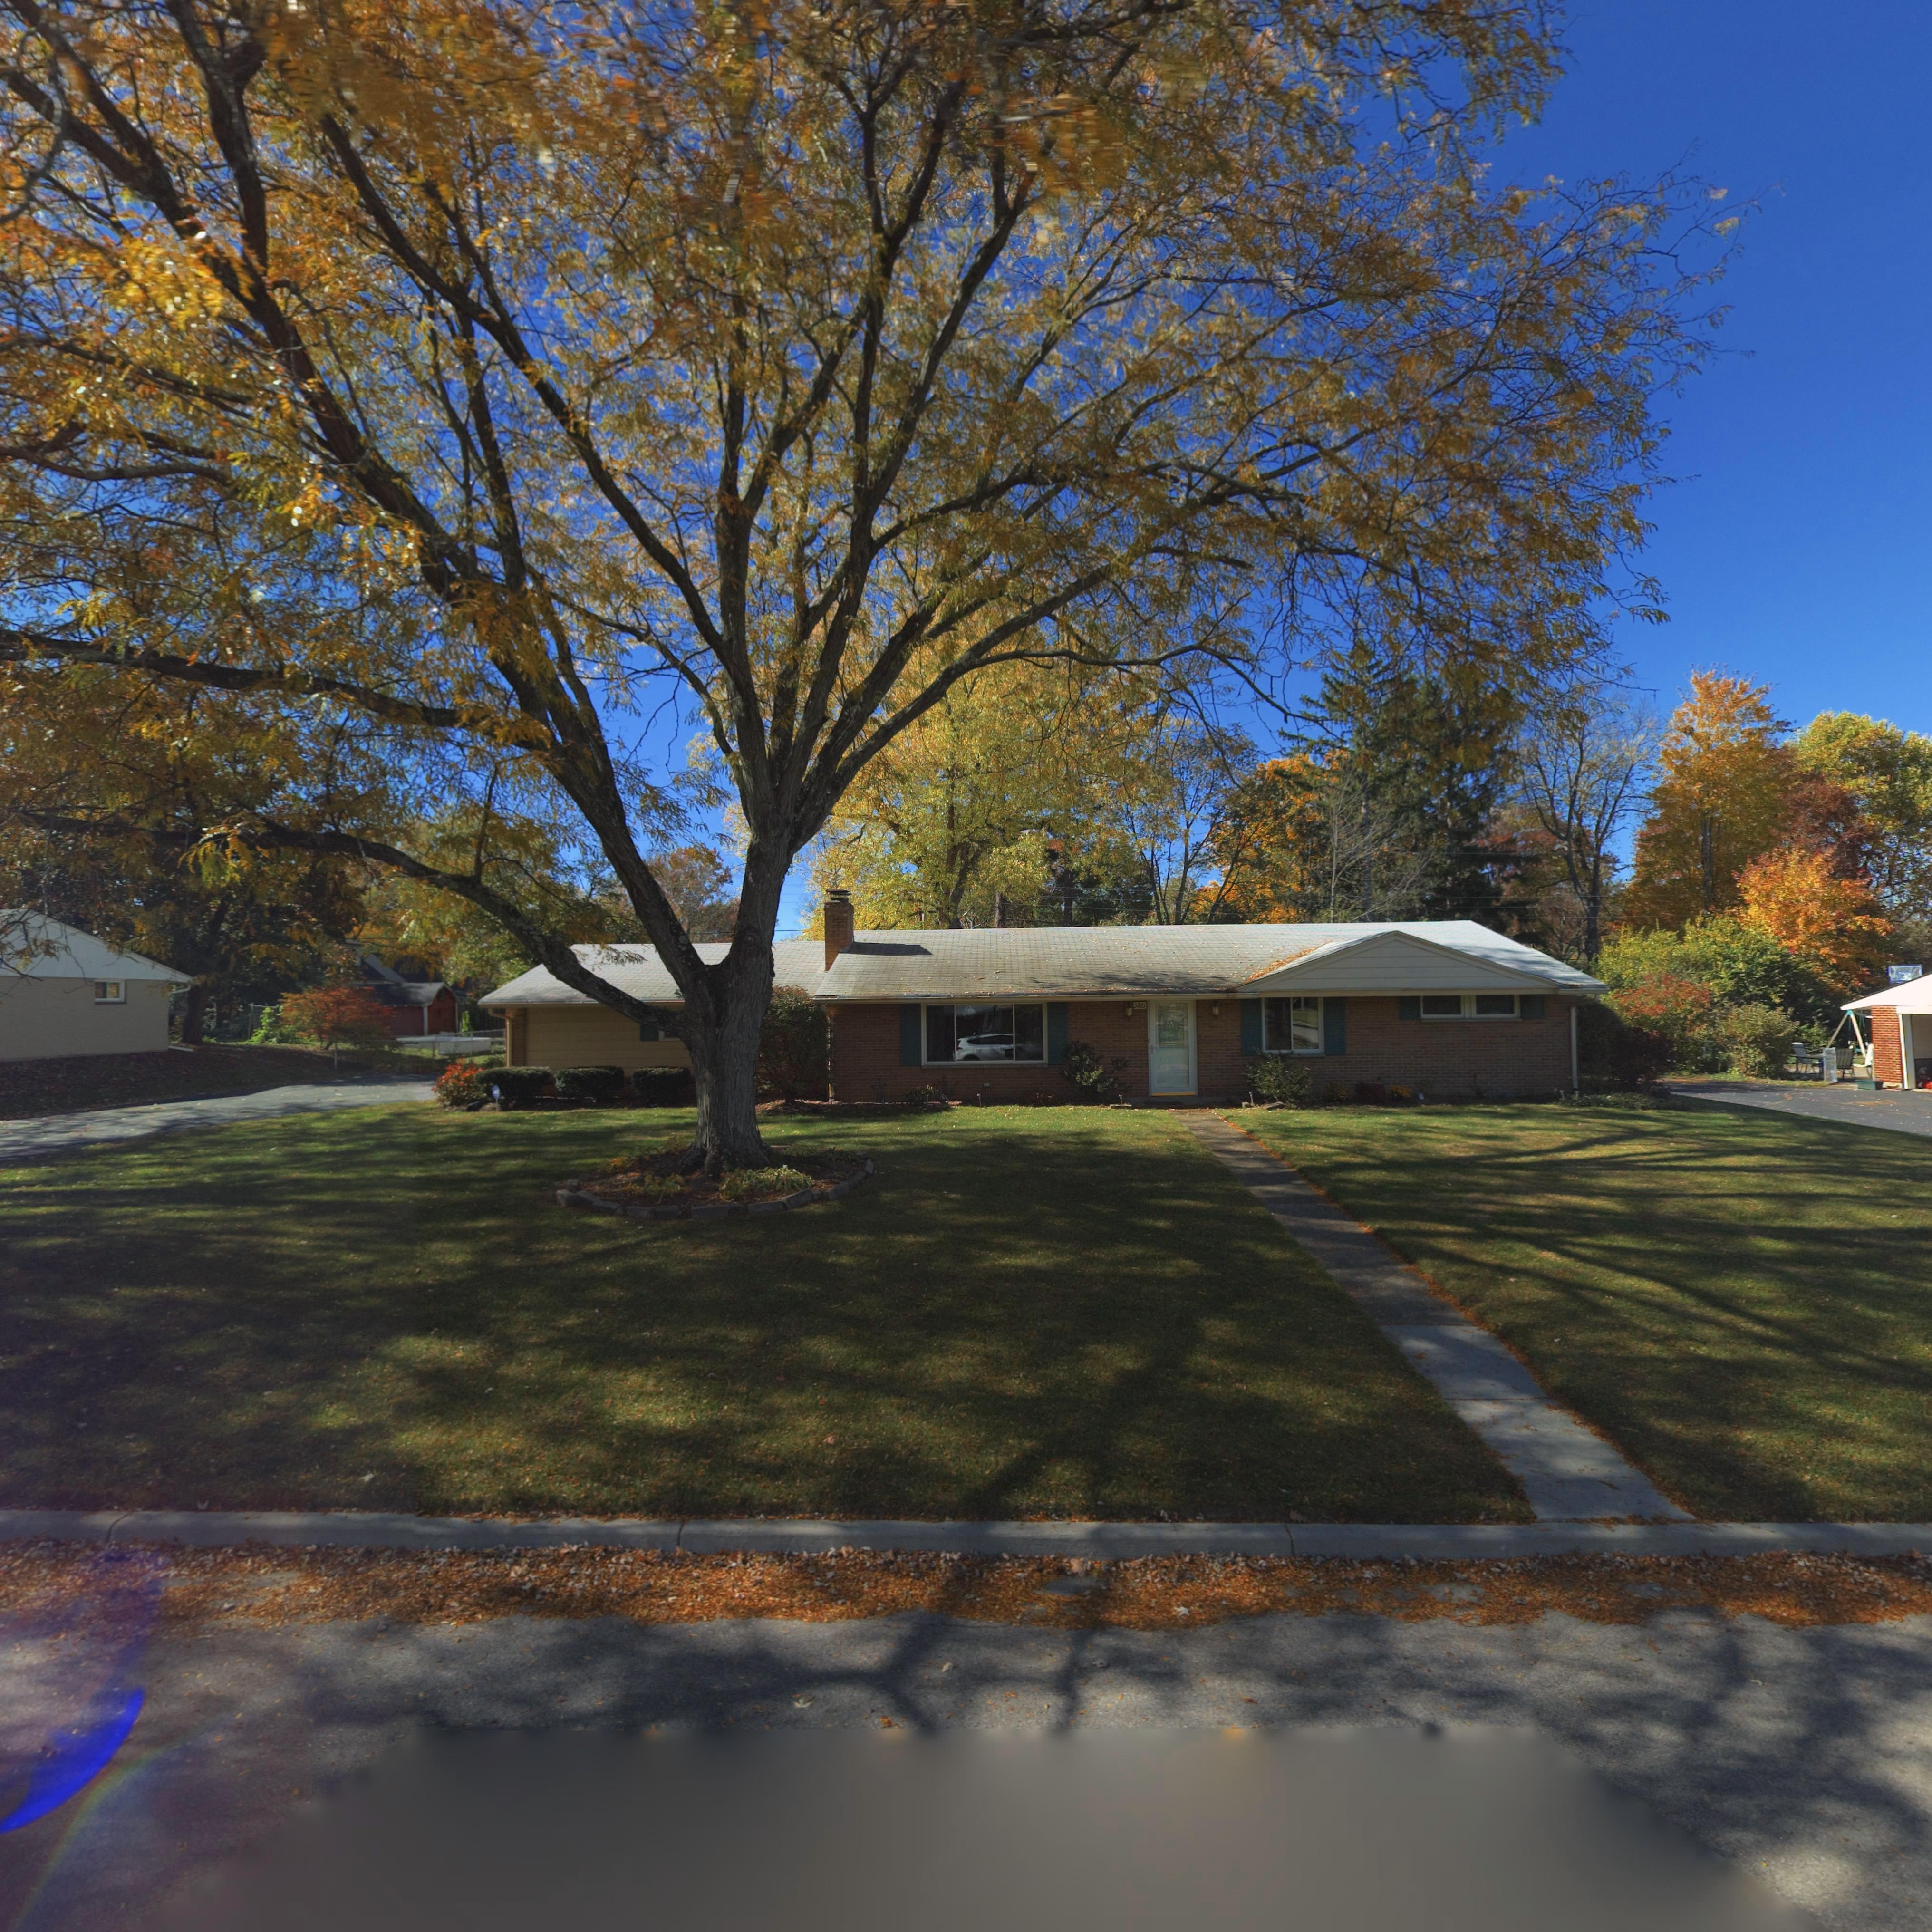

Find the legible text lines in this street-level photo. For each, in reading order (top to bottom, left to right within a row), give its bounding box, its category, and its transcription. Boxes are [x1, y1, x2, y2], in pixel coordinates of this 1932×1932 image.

[1133, 1002, 1146, 1008] StreetNumber: 5881